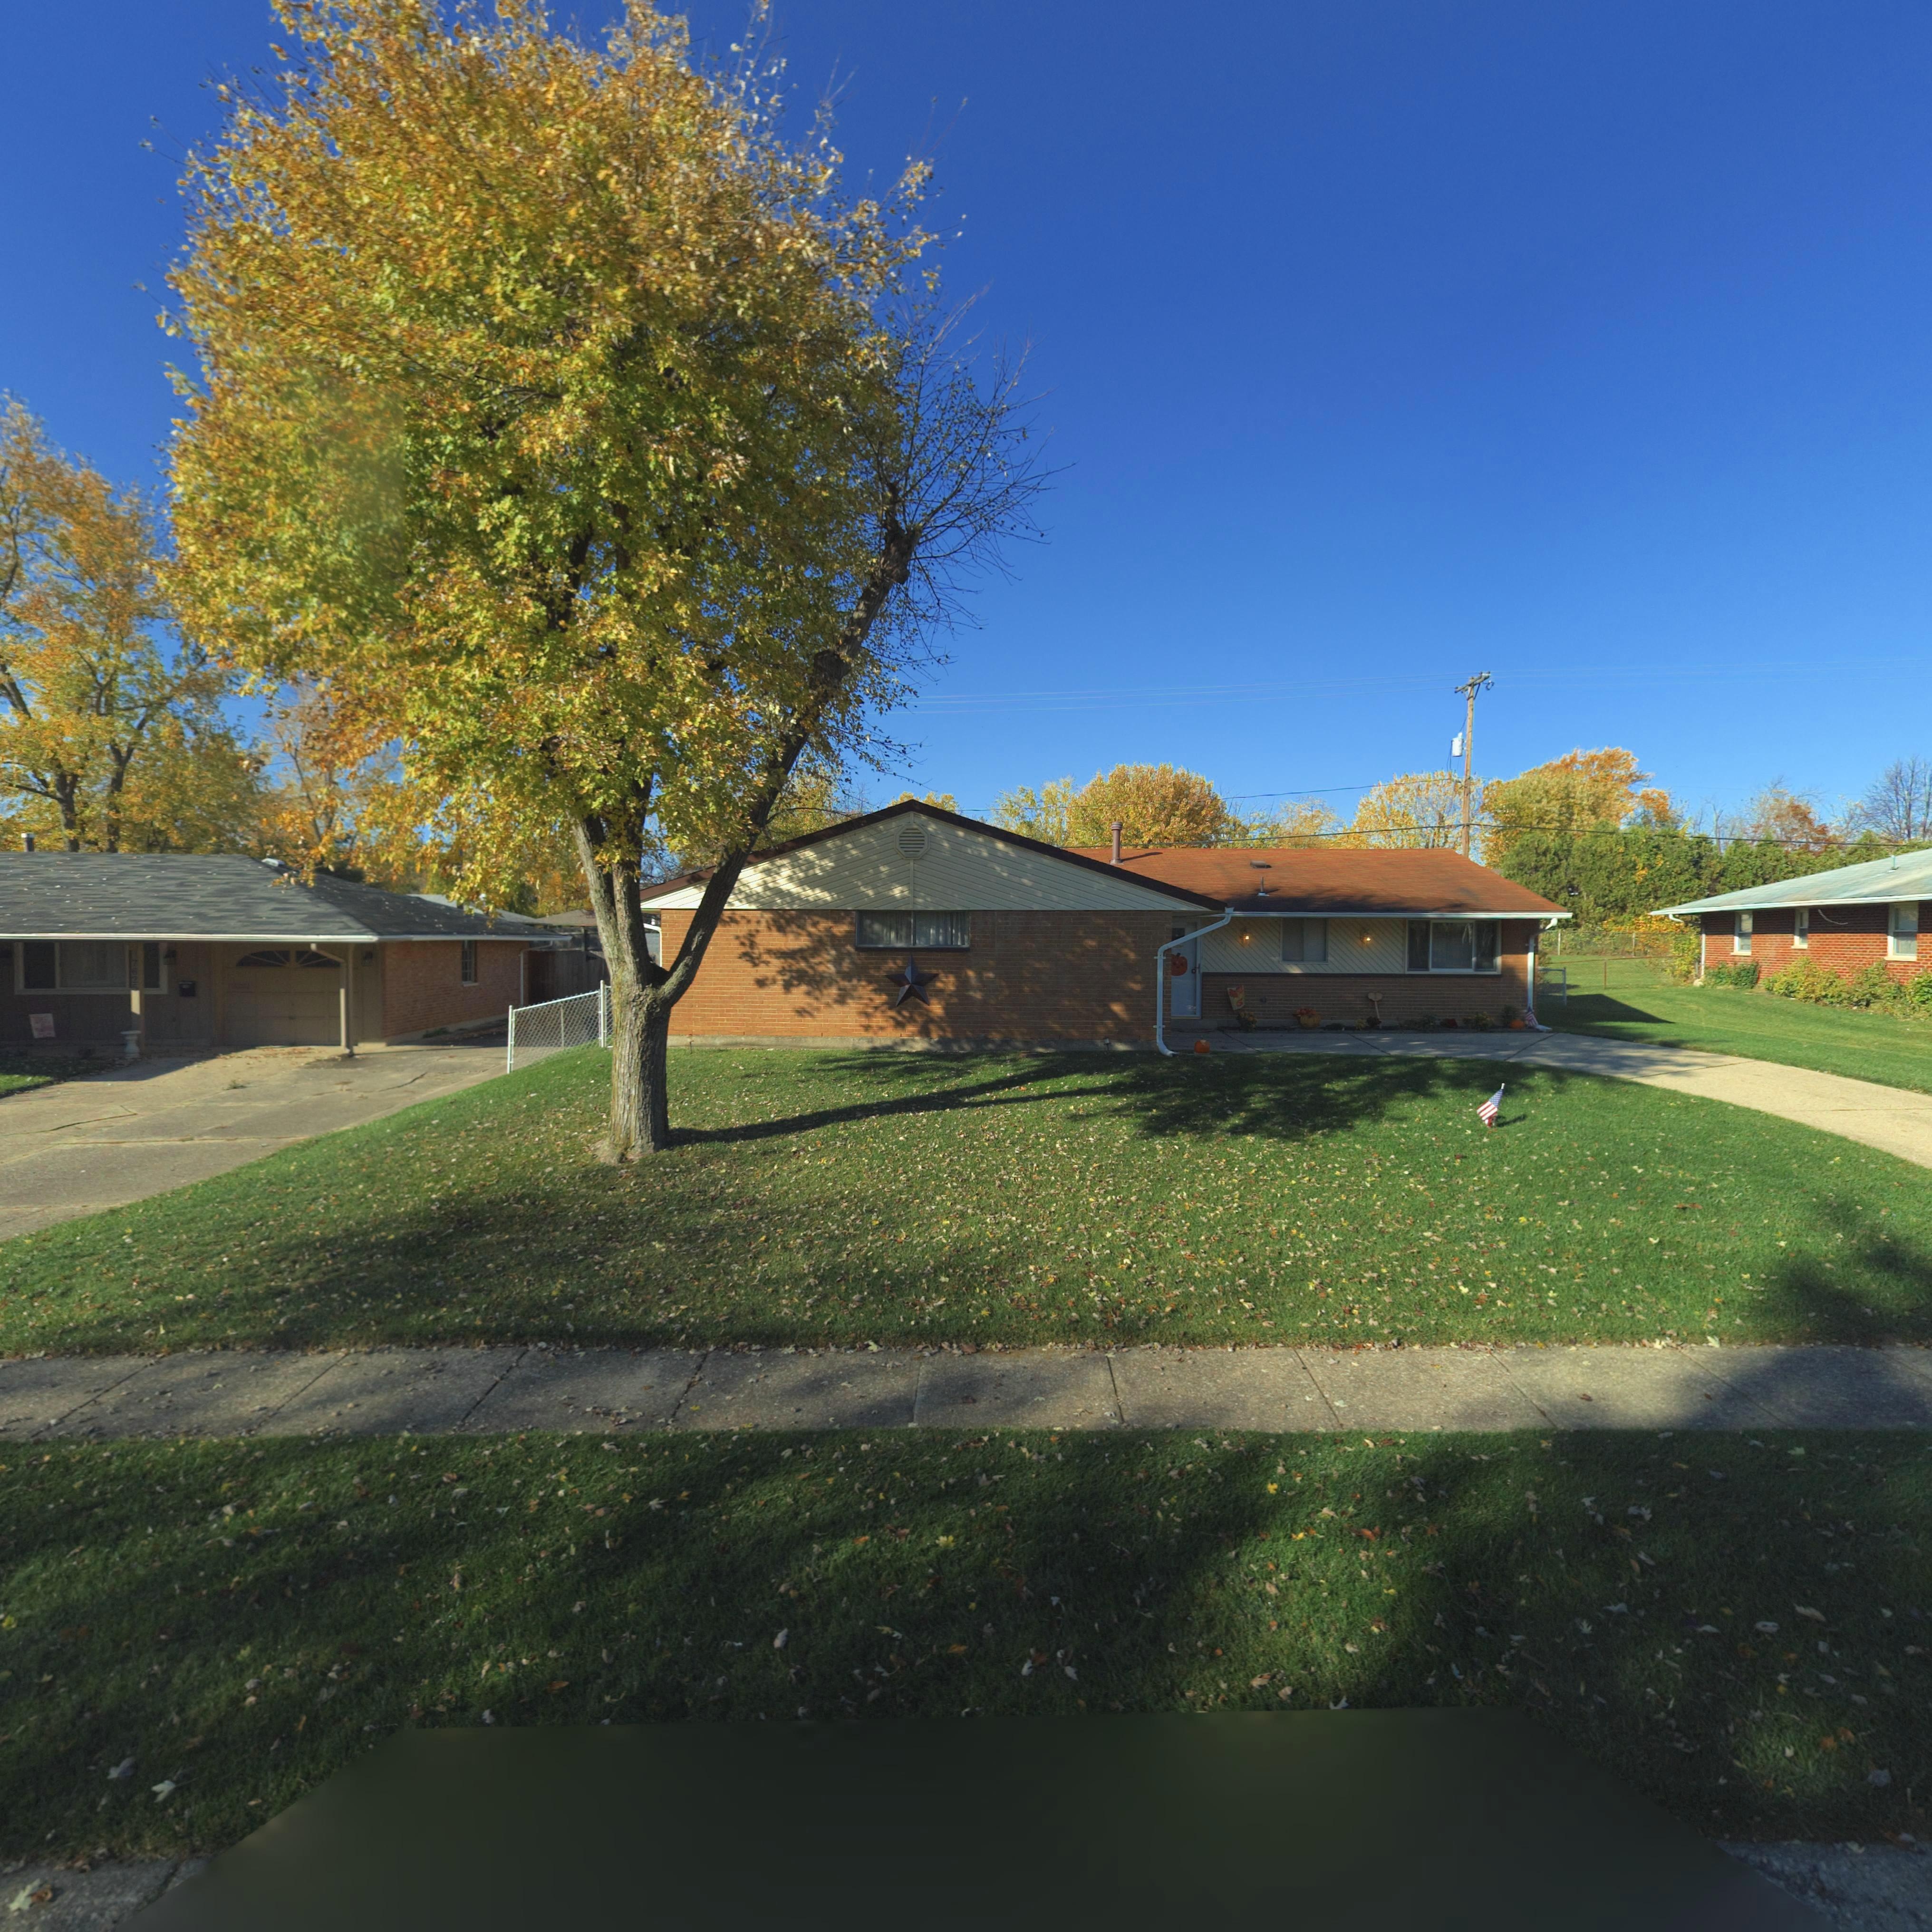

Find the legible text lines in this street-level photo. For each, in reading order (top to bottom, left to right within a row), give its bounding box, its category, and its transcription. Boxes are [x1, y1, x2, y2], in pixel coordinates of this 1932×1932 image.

[1217, 939, 1227, 951] StreetNumber: 31
[131, 958, 139, 991] StreetNumber: 7625